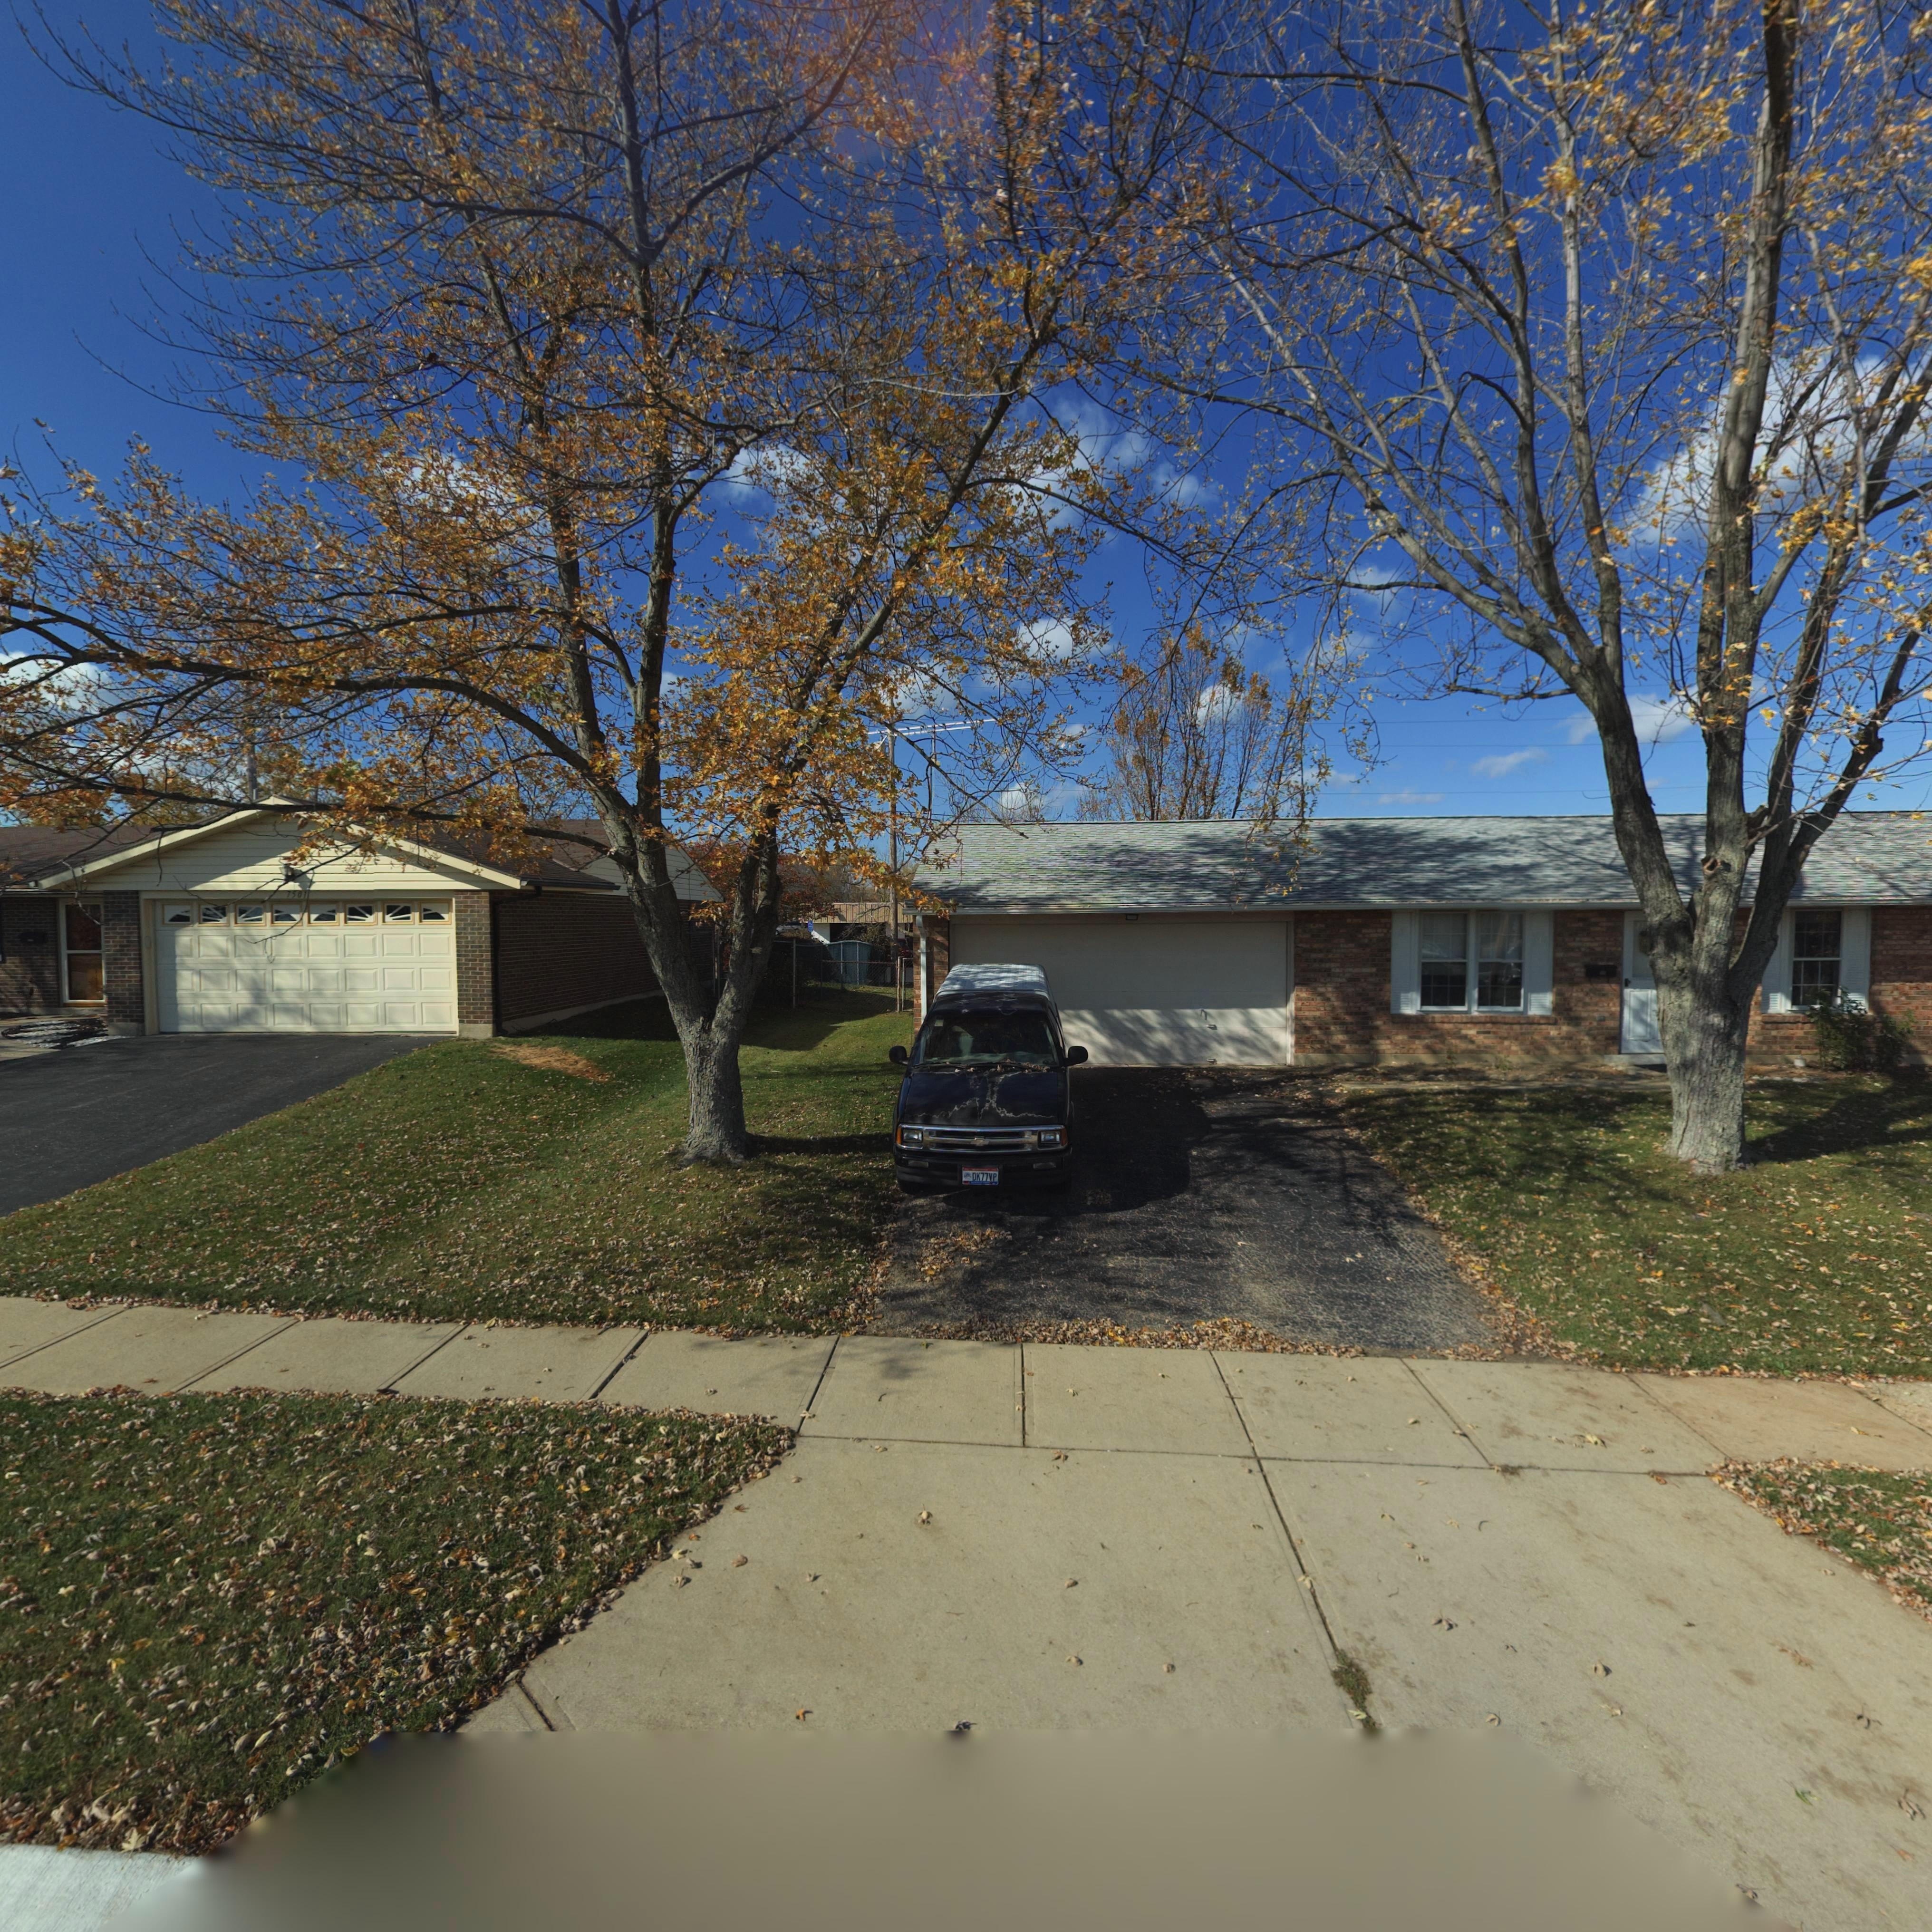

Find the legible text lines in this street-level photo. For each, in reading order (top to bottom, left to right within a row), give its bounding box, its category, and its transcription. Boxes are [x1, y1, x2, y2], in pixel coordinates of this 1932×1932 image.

[286, 889, 308, 900] StreetNumber: 7501